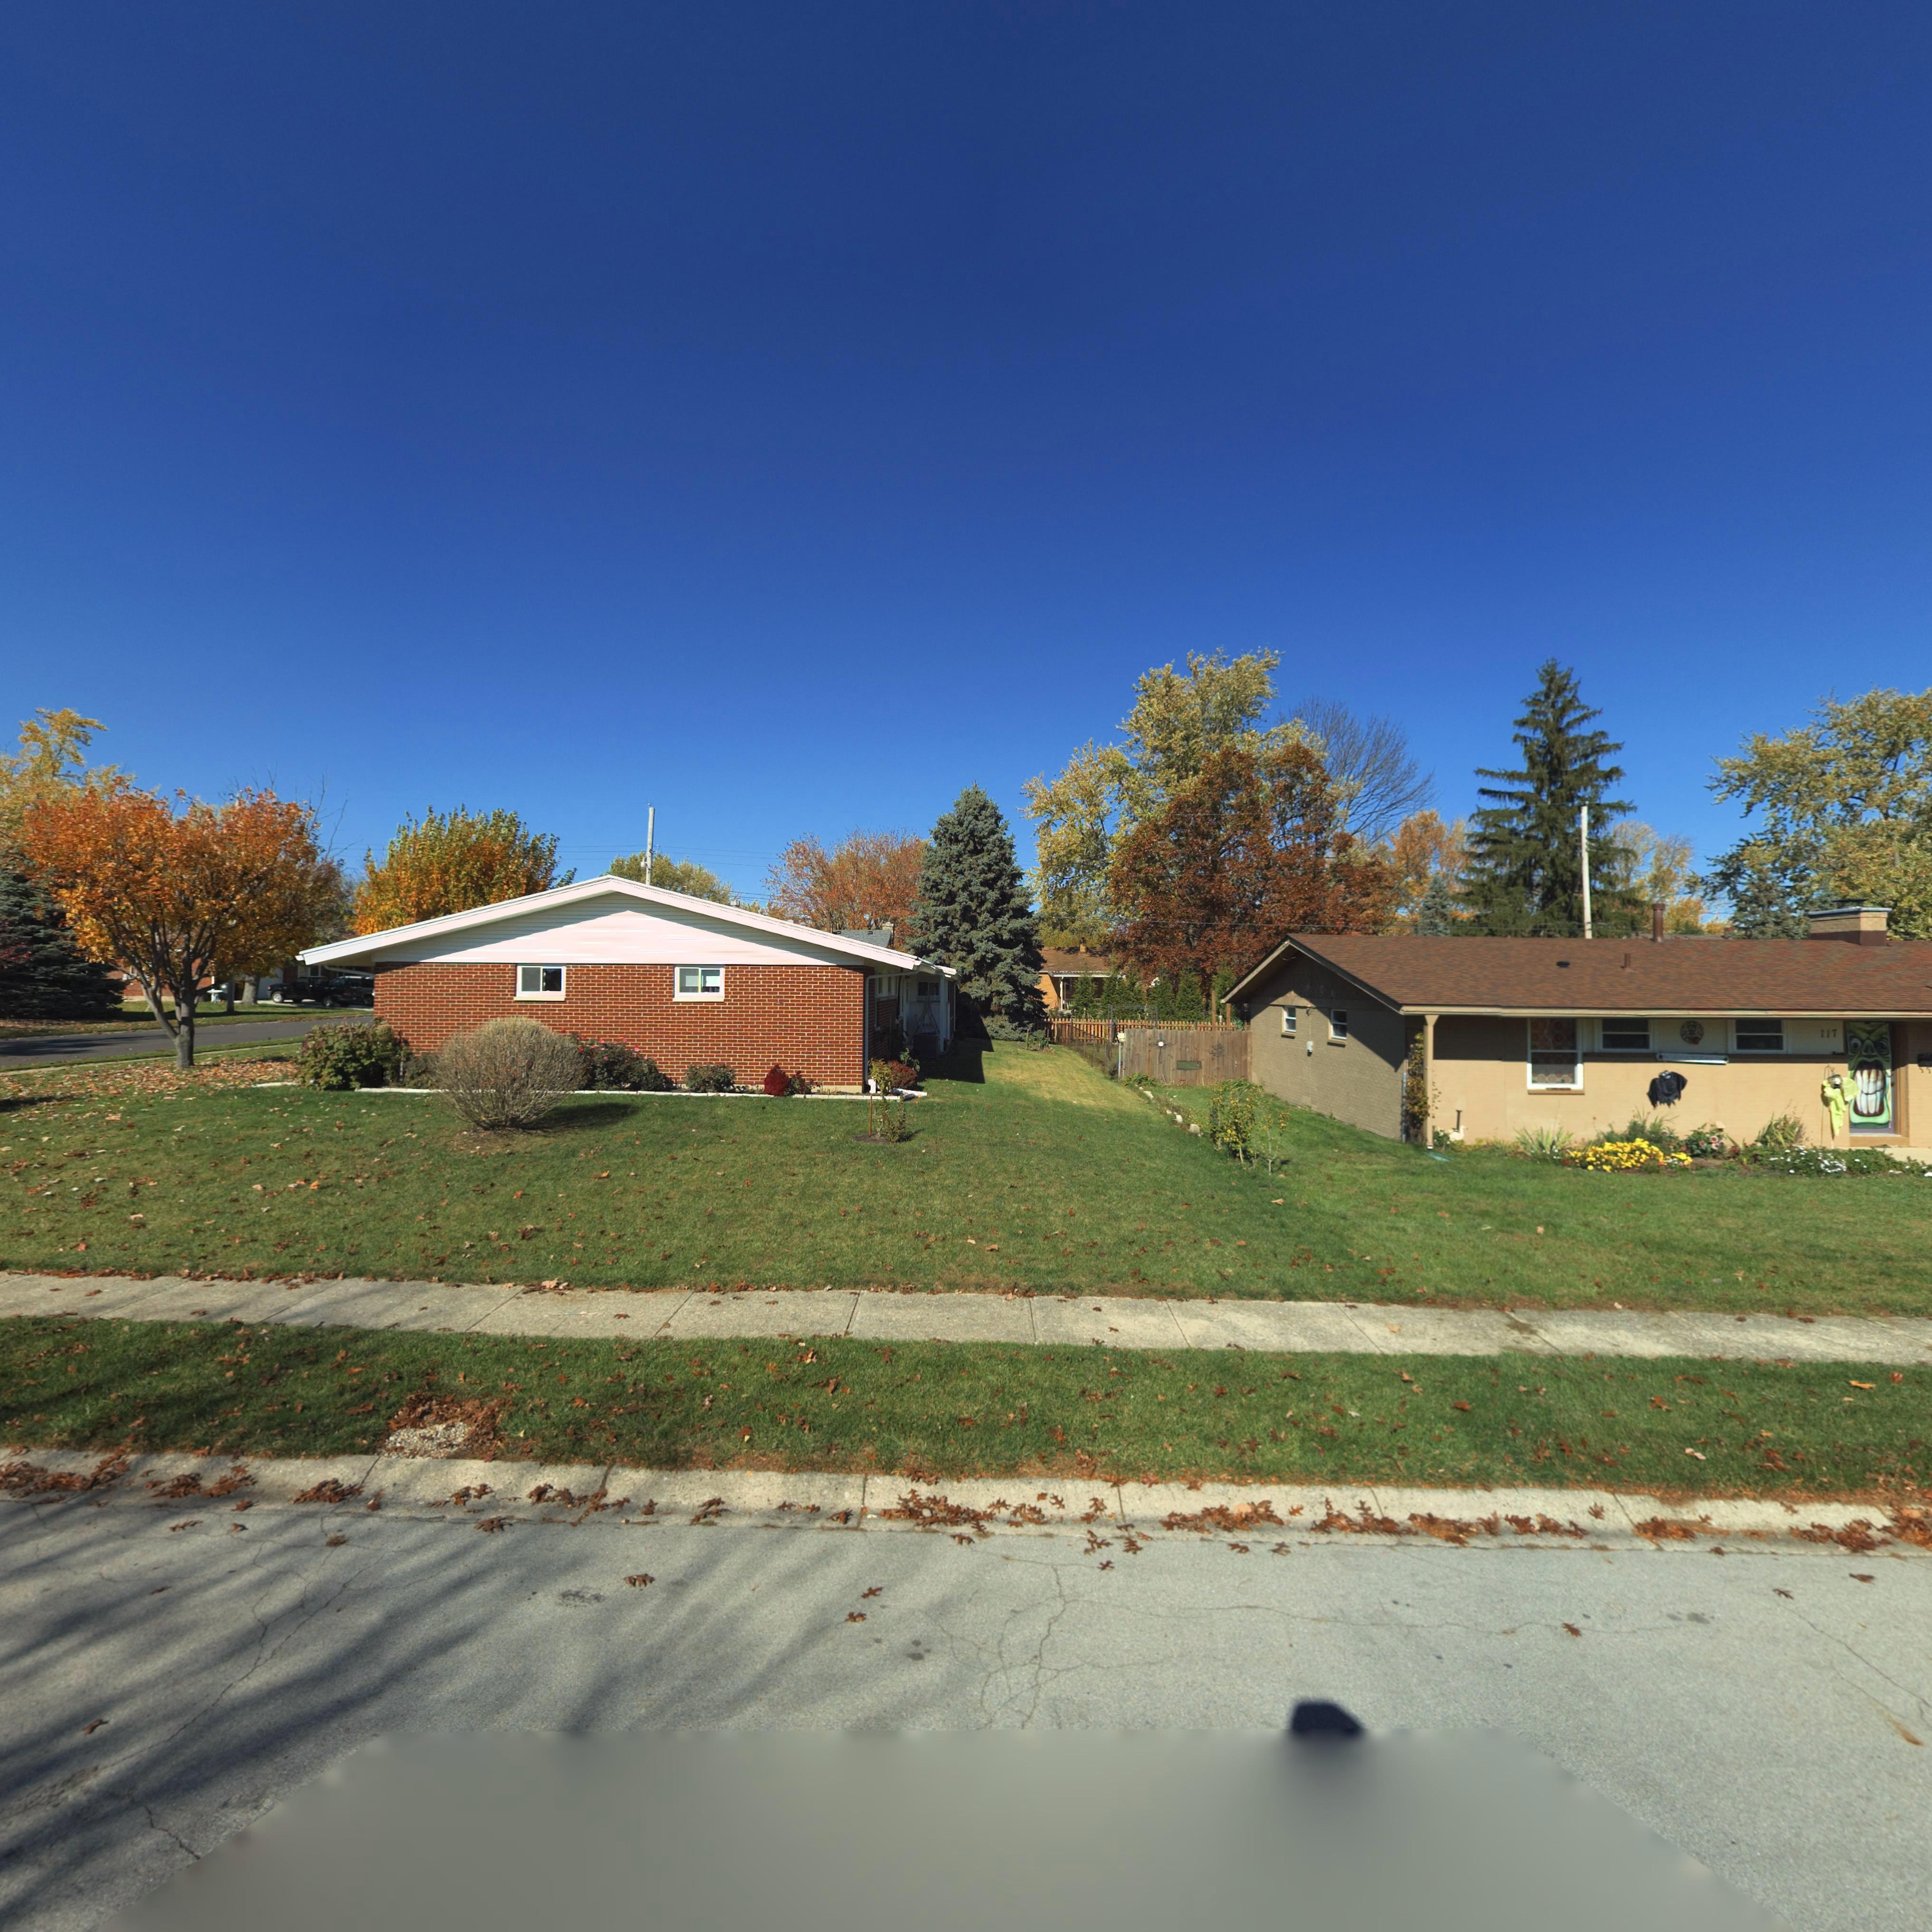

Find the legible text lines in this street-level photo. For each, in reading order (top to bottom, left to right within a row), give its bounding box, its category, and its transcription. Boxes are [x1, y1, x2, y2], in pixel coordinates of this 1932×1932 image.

[1820, 1028, 1838, 1039] StreetNumber: 117